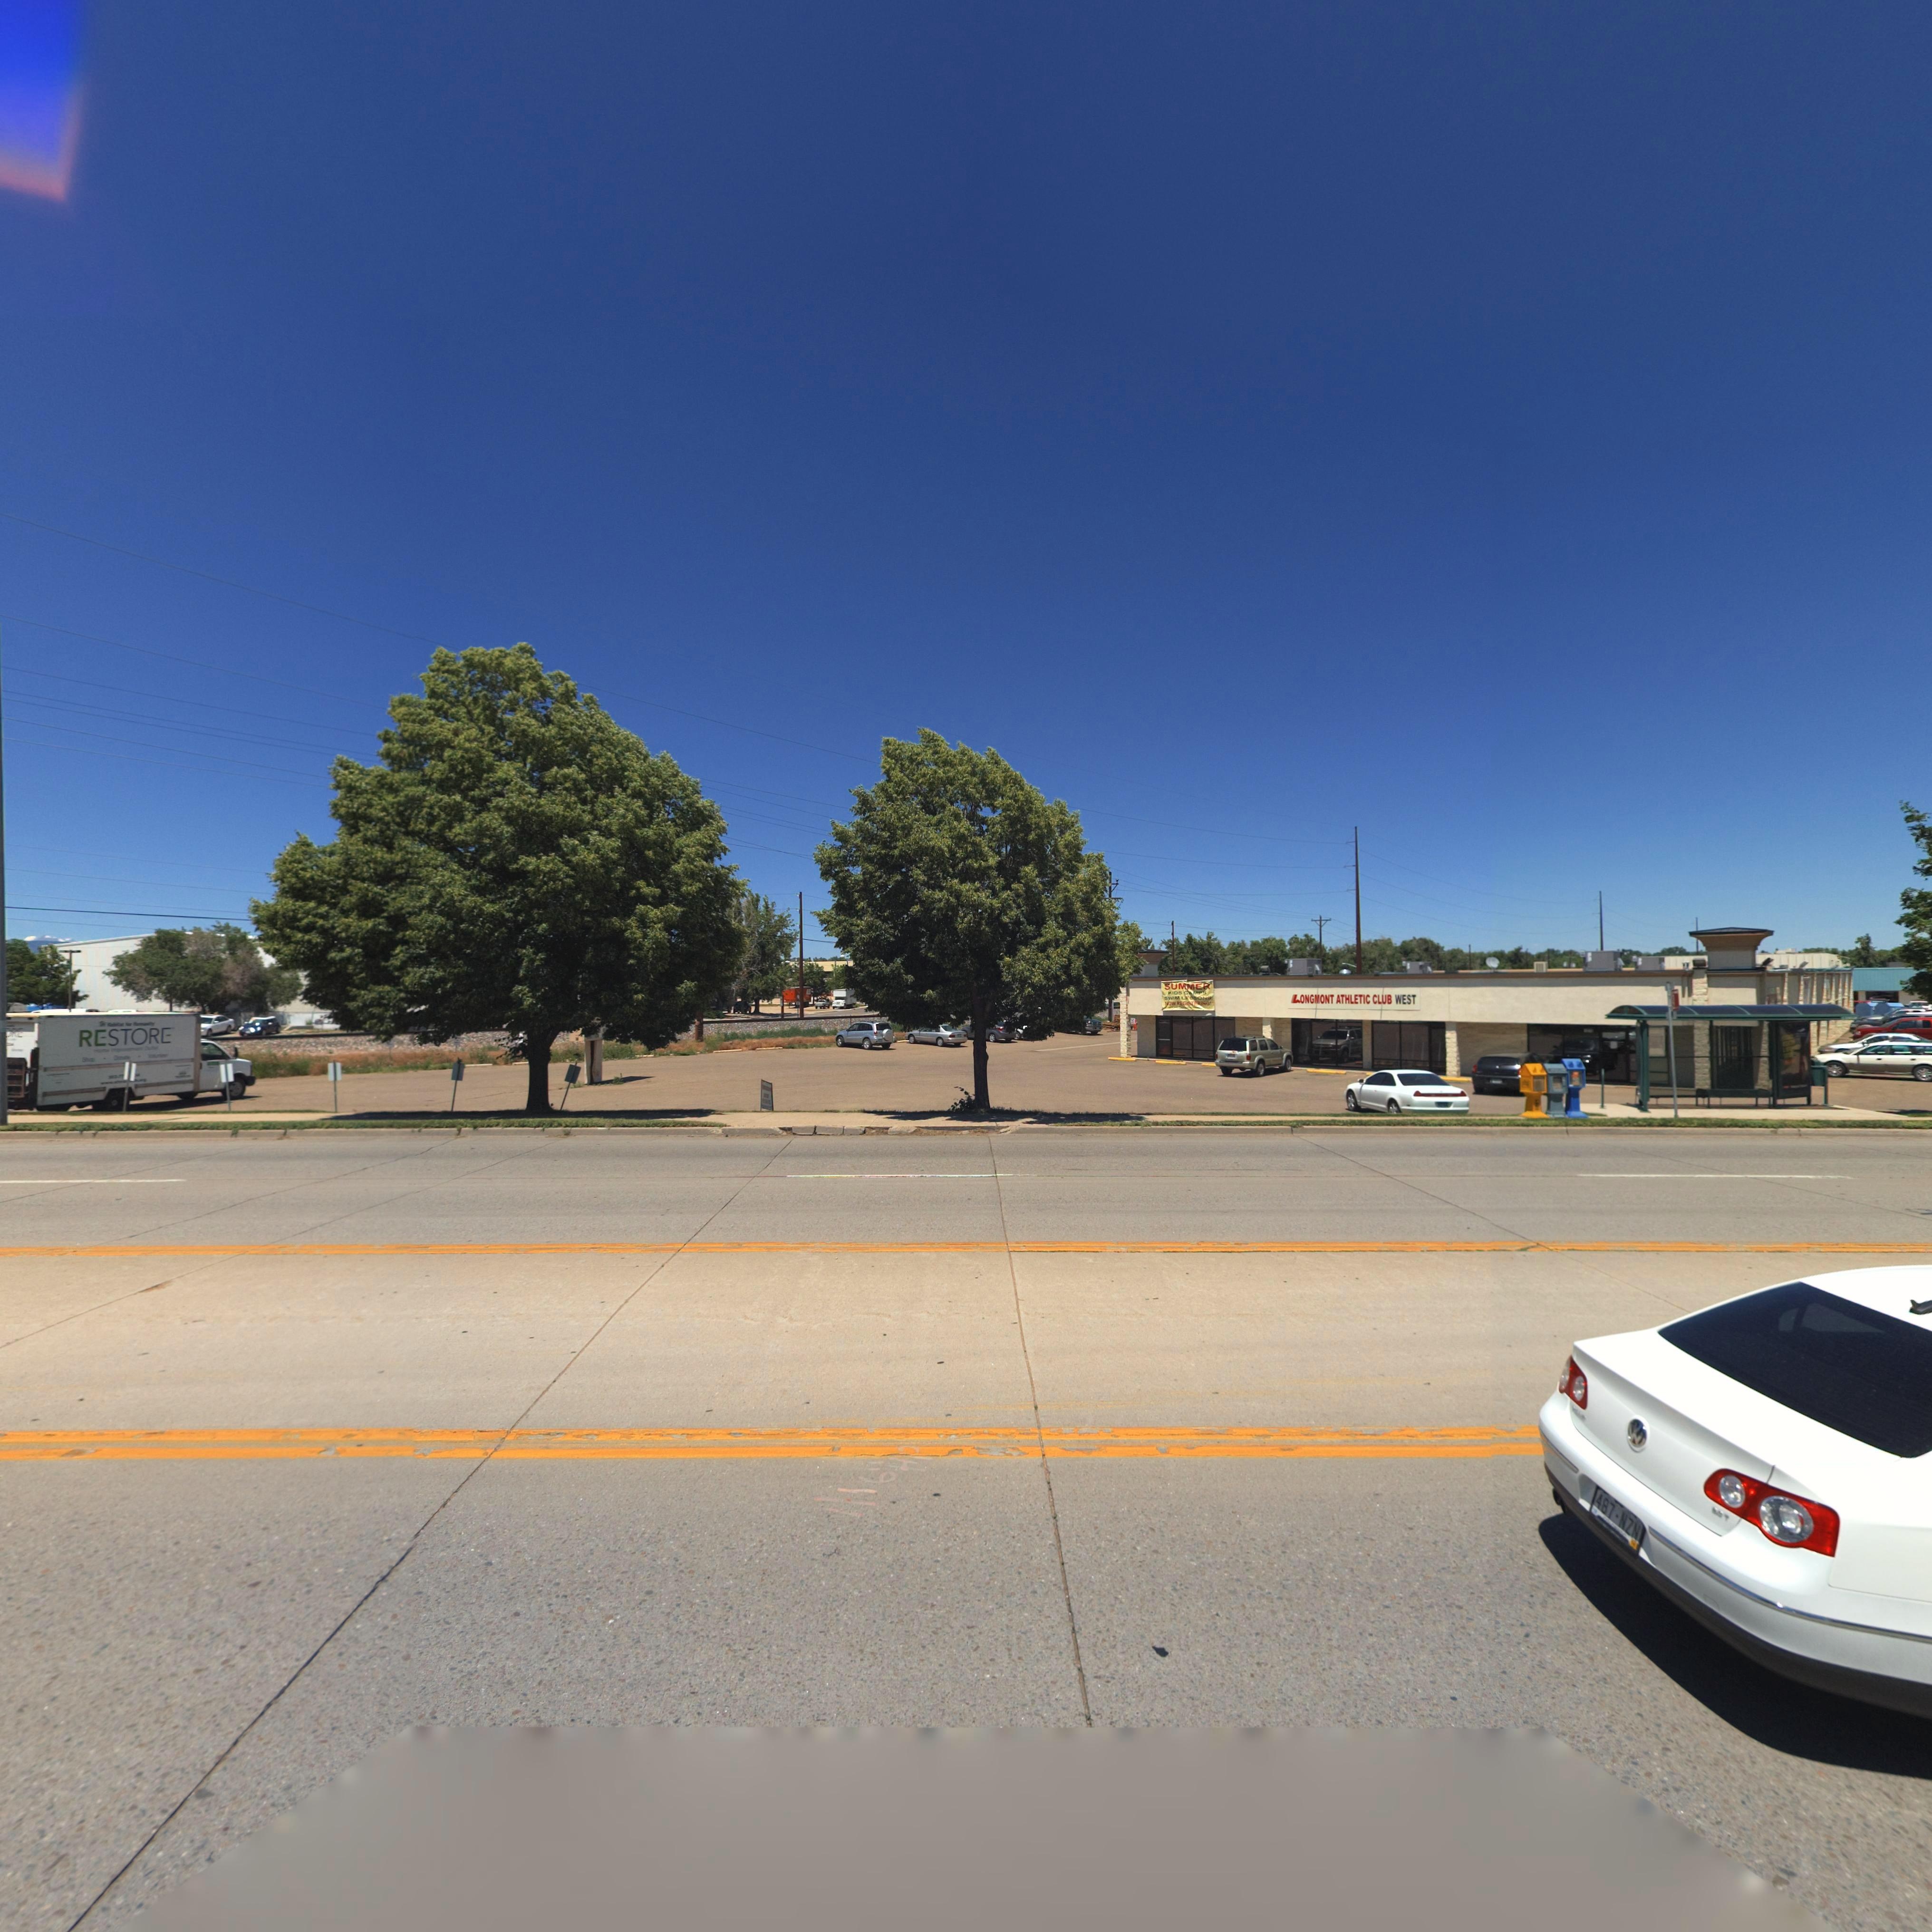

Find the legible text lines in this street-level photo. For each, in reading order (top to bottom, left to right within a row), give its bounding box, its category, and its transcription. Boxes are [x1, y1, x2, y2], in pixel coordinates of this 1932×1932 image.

[1290, 993, 1417, 1005] BusinessName: LONGMONT ATHLETIC CLUB WEST